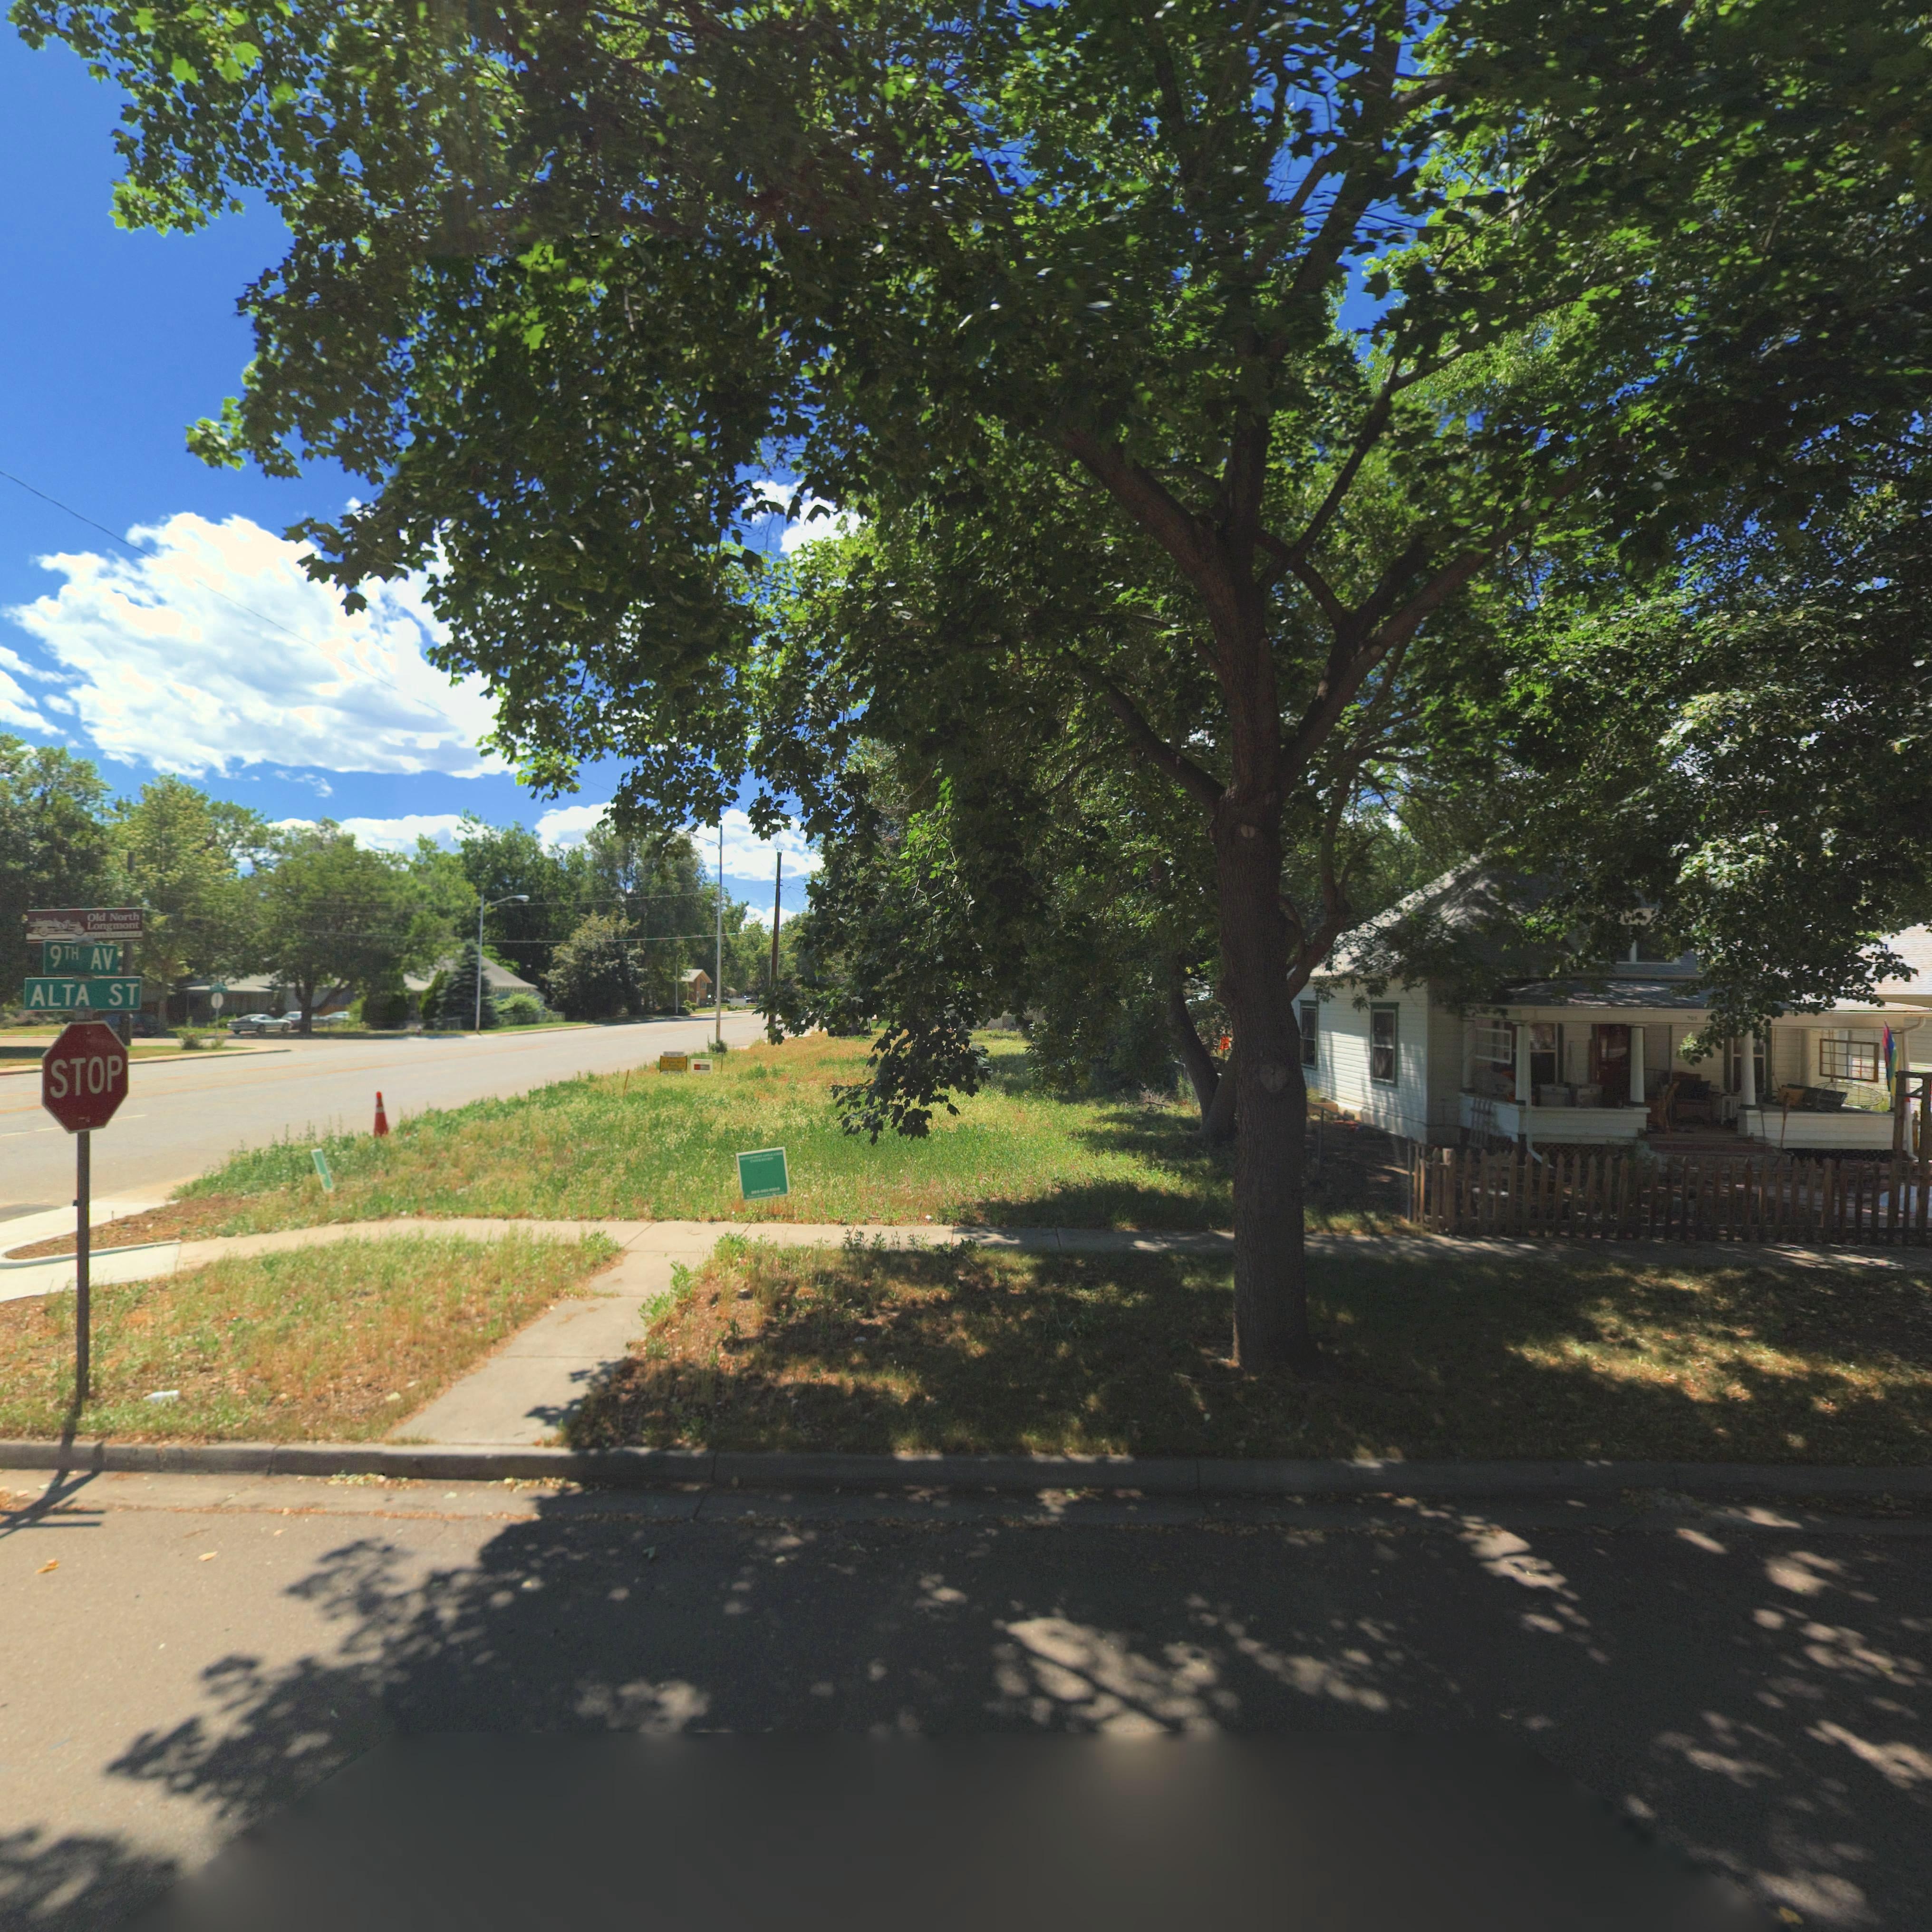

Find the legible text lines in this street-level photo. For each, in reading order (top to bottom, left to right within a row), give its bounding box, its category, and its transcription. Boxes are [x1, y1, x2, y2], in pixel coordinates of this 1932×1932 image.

[49, 944, 114, 970] StreetName: 9TH AV
[28, 982, 139, 1007] StreetName: ALTA ST
[1686, 1014, 1698, 1021] StreetNumber: 905